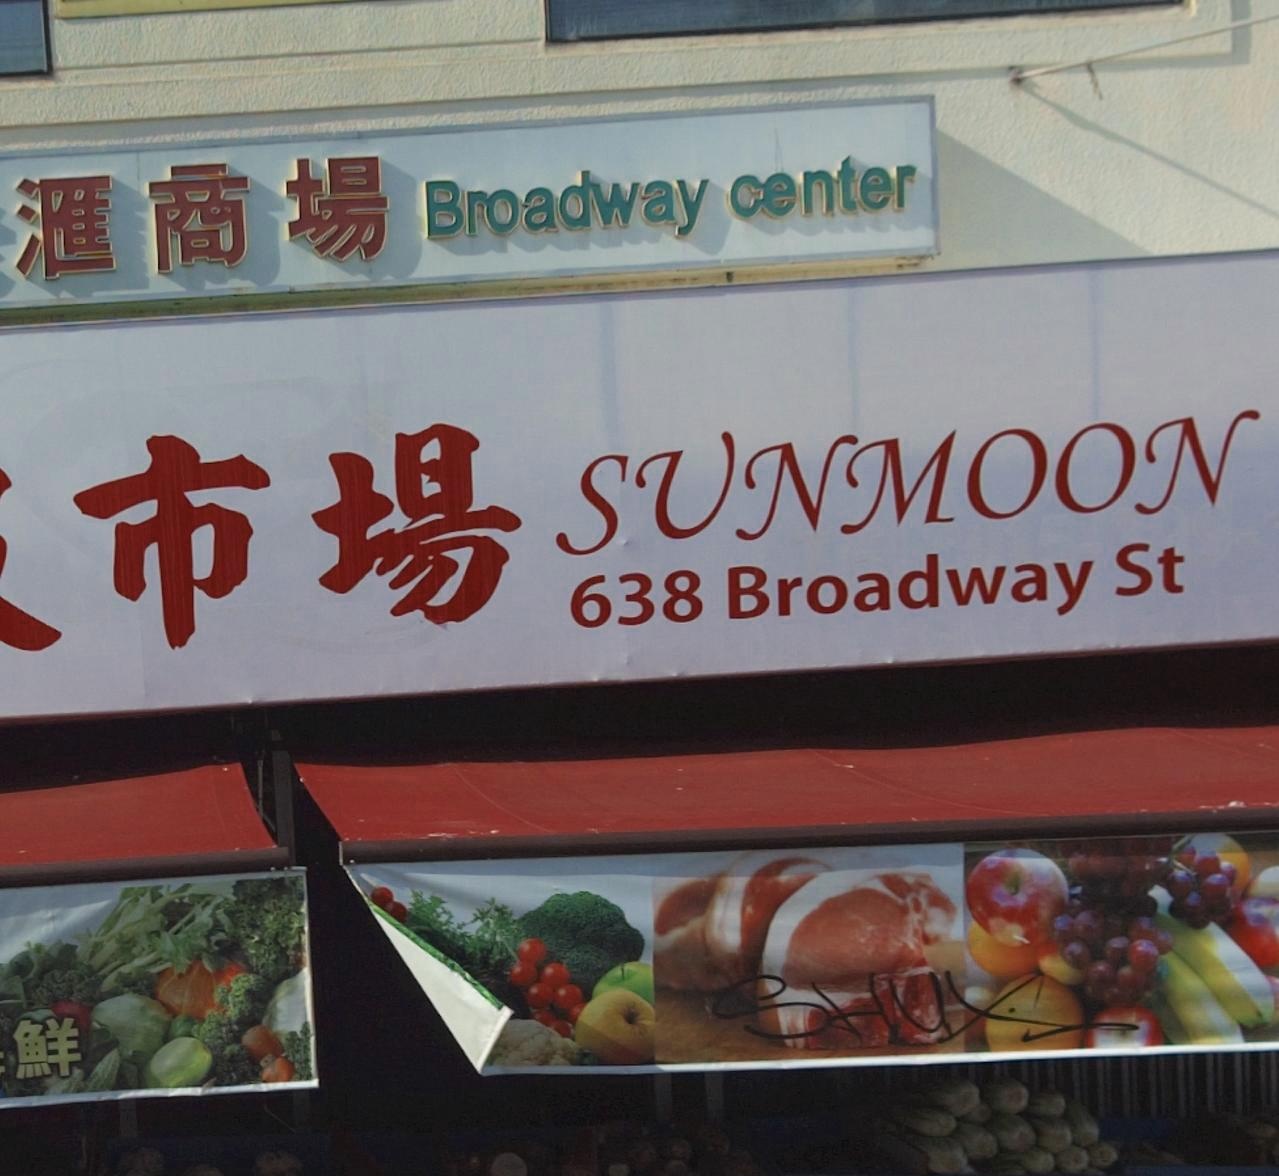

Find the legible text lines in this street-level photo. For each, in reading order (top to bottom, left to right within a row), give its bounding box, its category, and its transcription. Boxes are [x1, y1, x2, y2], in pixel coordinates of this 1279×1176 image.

[422, 153, 918, 243] BusinessName: Broadway center
[553, 407, 1264, 558] BusinessName: SUNMOON
[568, 567, 705, 632] StreetNumber: 638
[726, 541, 1187, 620] StreetName: Broadway St